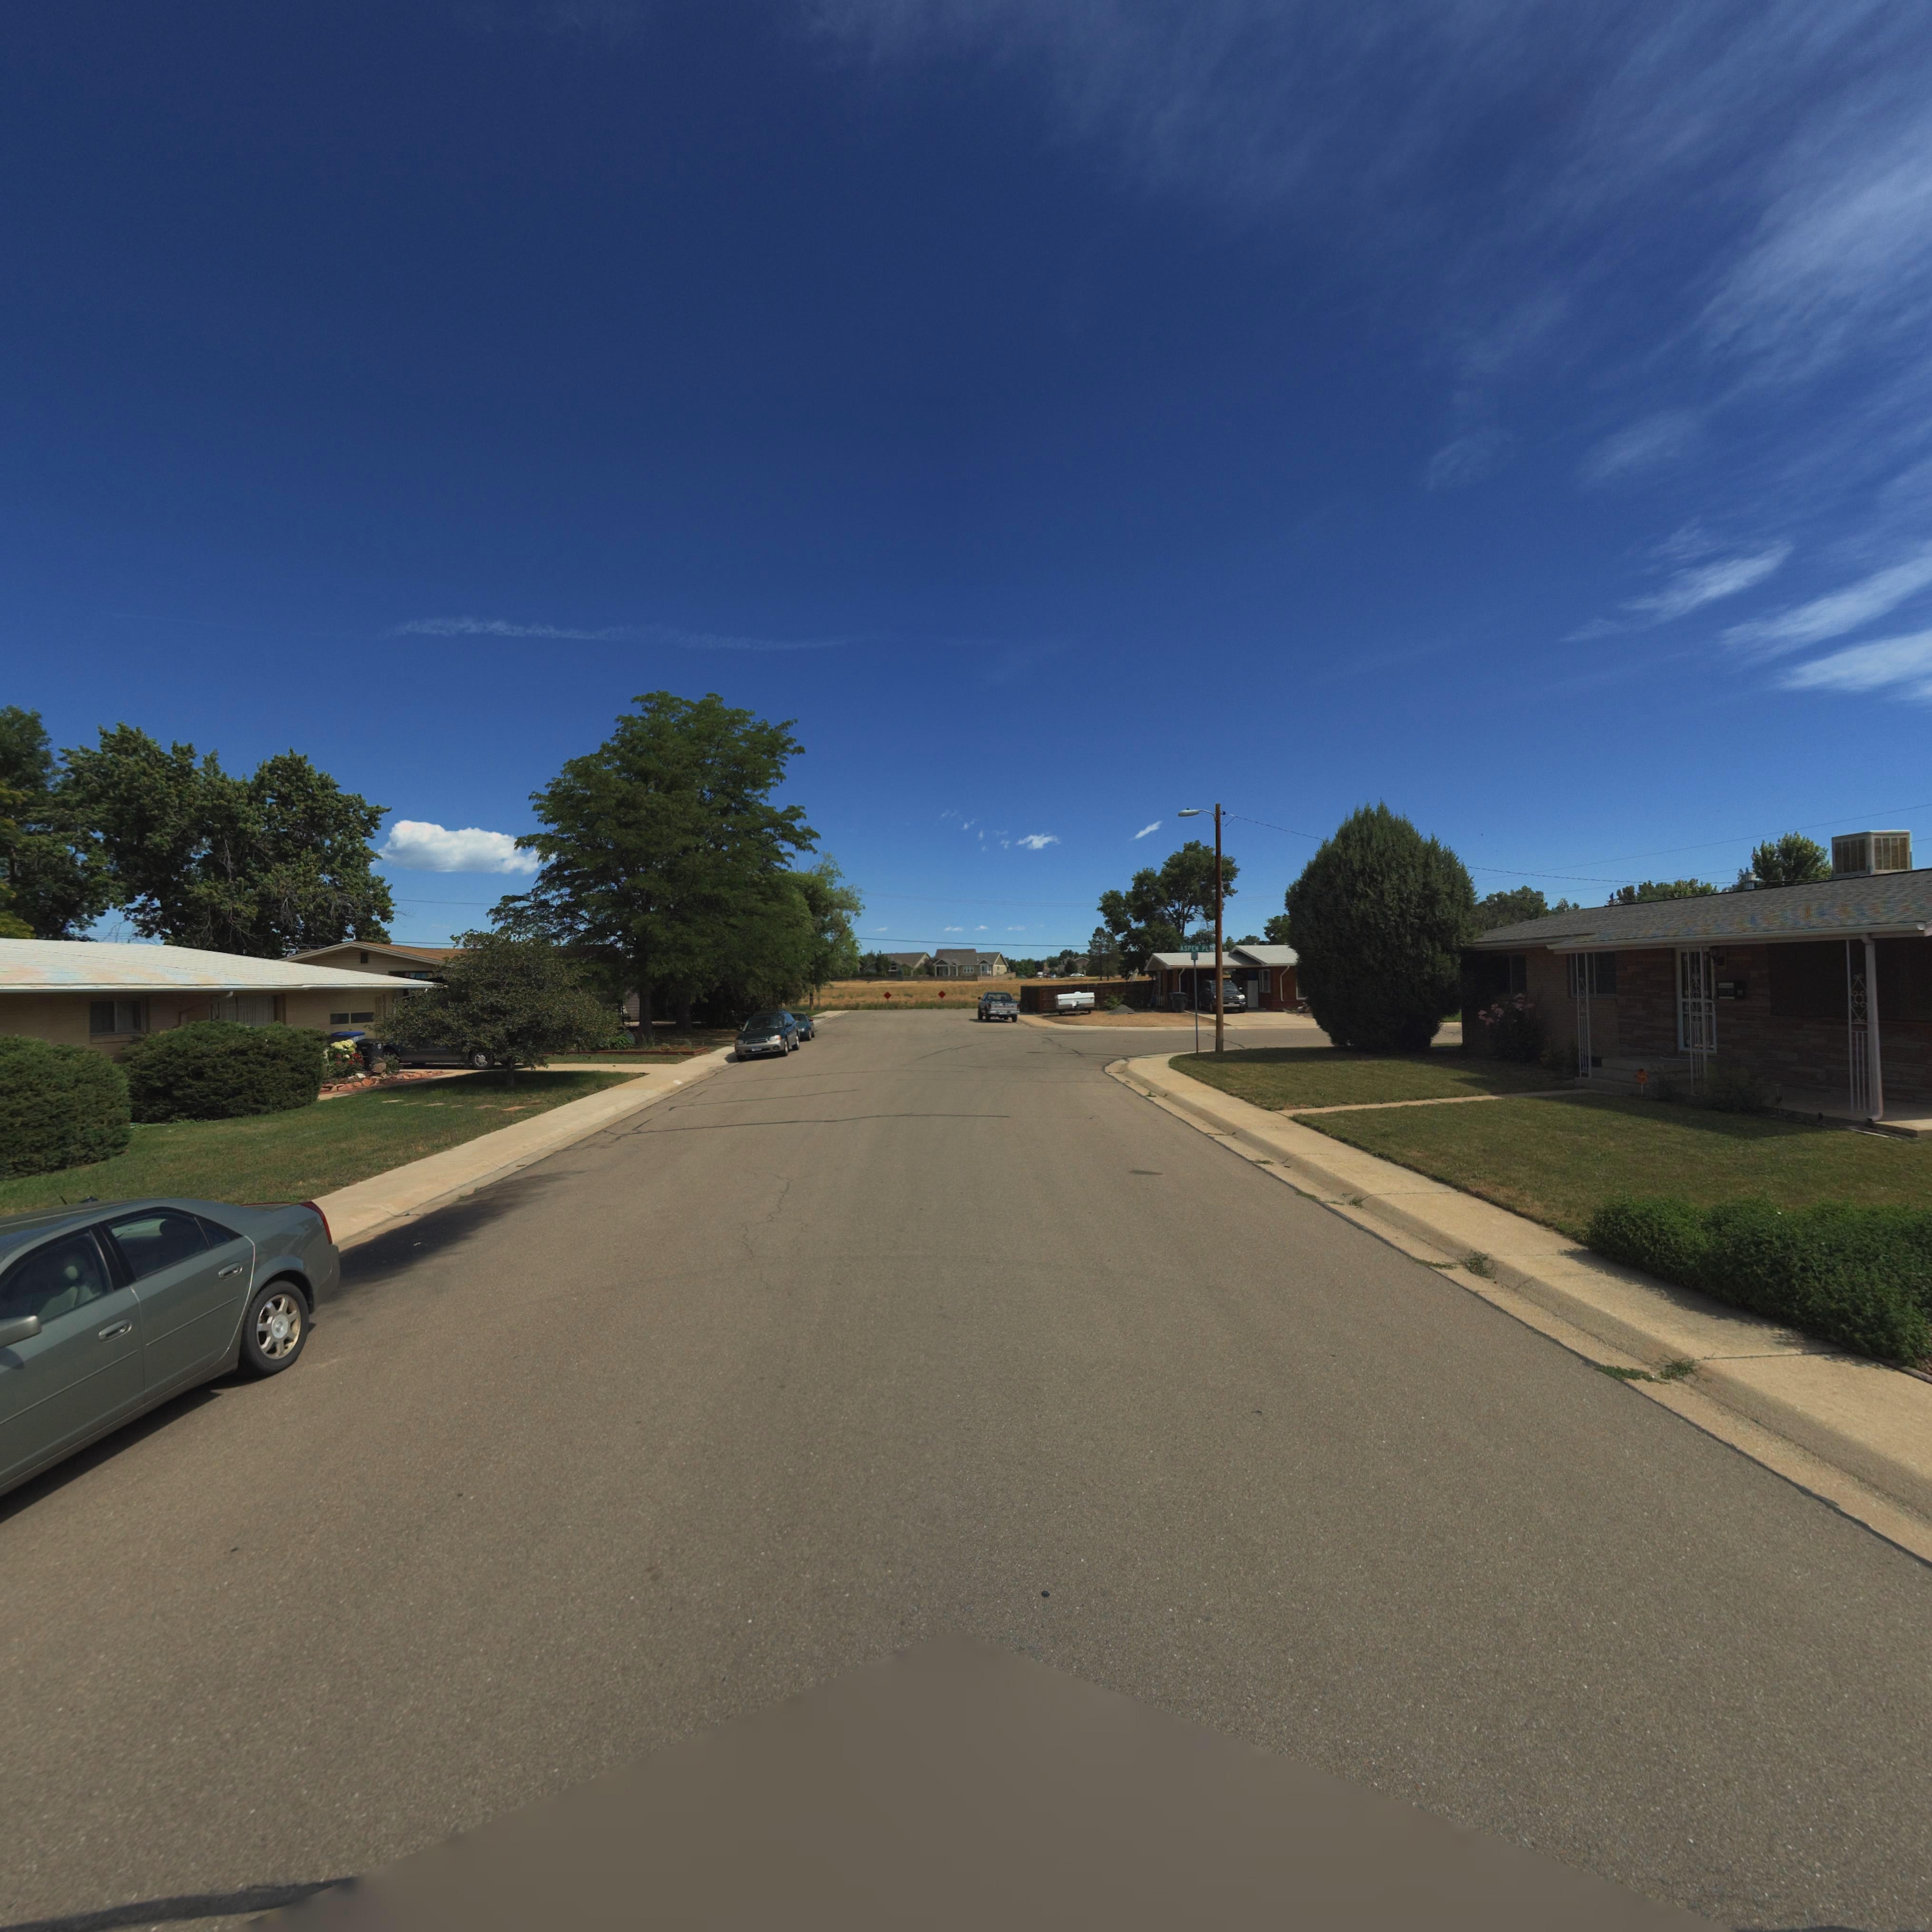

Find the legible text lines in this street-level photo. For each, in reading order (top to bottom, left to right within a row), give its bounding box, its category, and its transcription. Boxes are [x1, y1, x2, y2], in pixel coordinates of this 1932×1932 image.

[1179, 945, 1209, 951] StreetName: ASPEN PL
[1718, 988, 1734, 995] StreetNumber: 13**